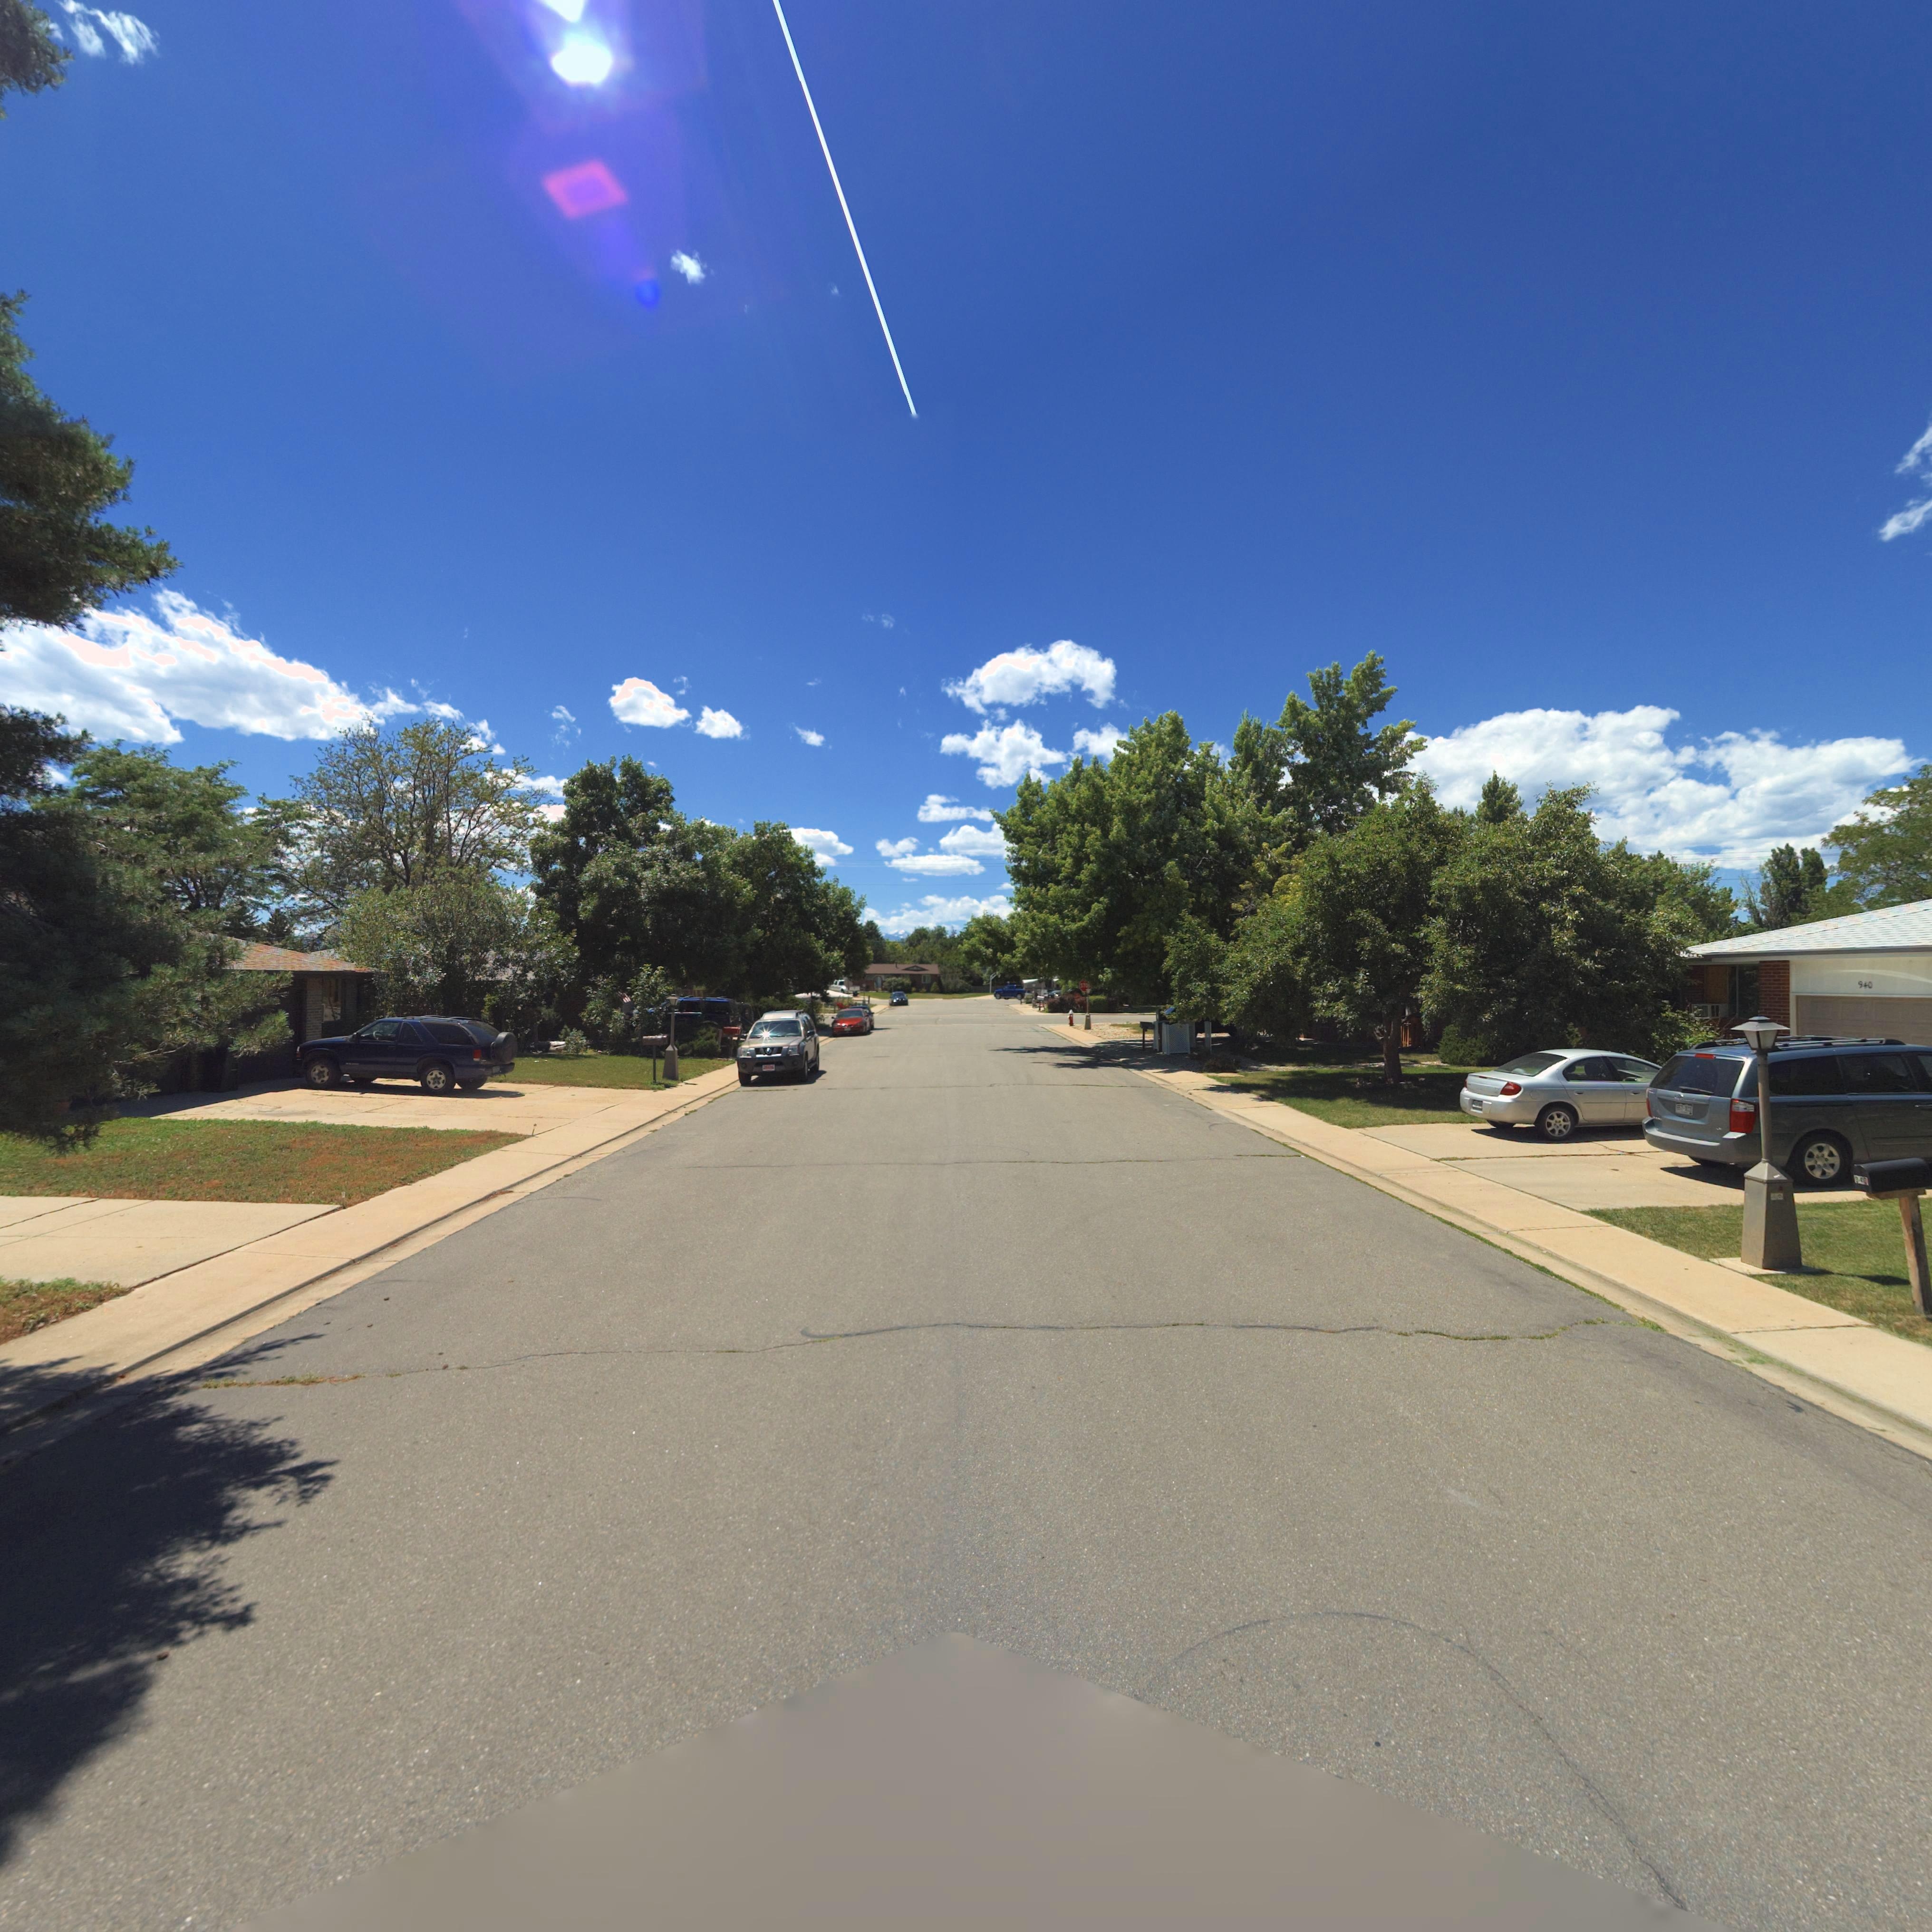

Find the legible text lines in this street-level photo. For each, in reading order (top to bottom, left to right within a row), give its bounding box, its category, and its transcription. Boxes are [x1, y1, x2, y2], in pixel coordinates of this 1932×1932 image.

[1858, 980, 1873, 989] StreetNumber: 940